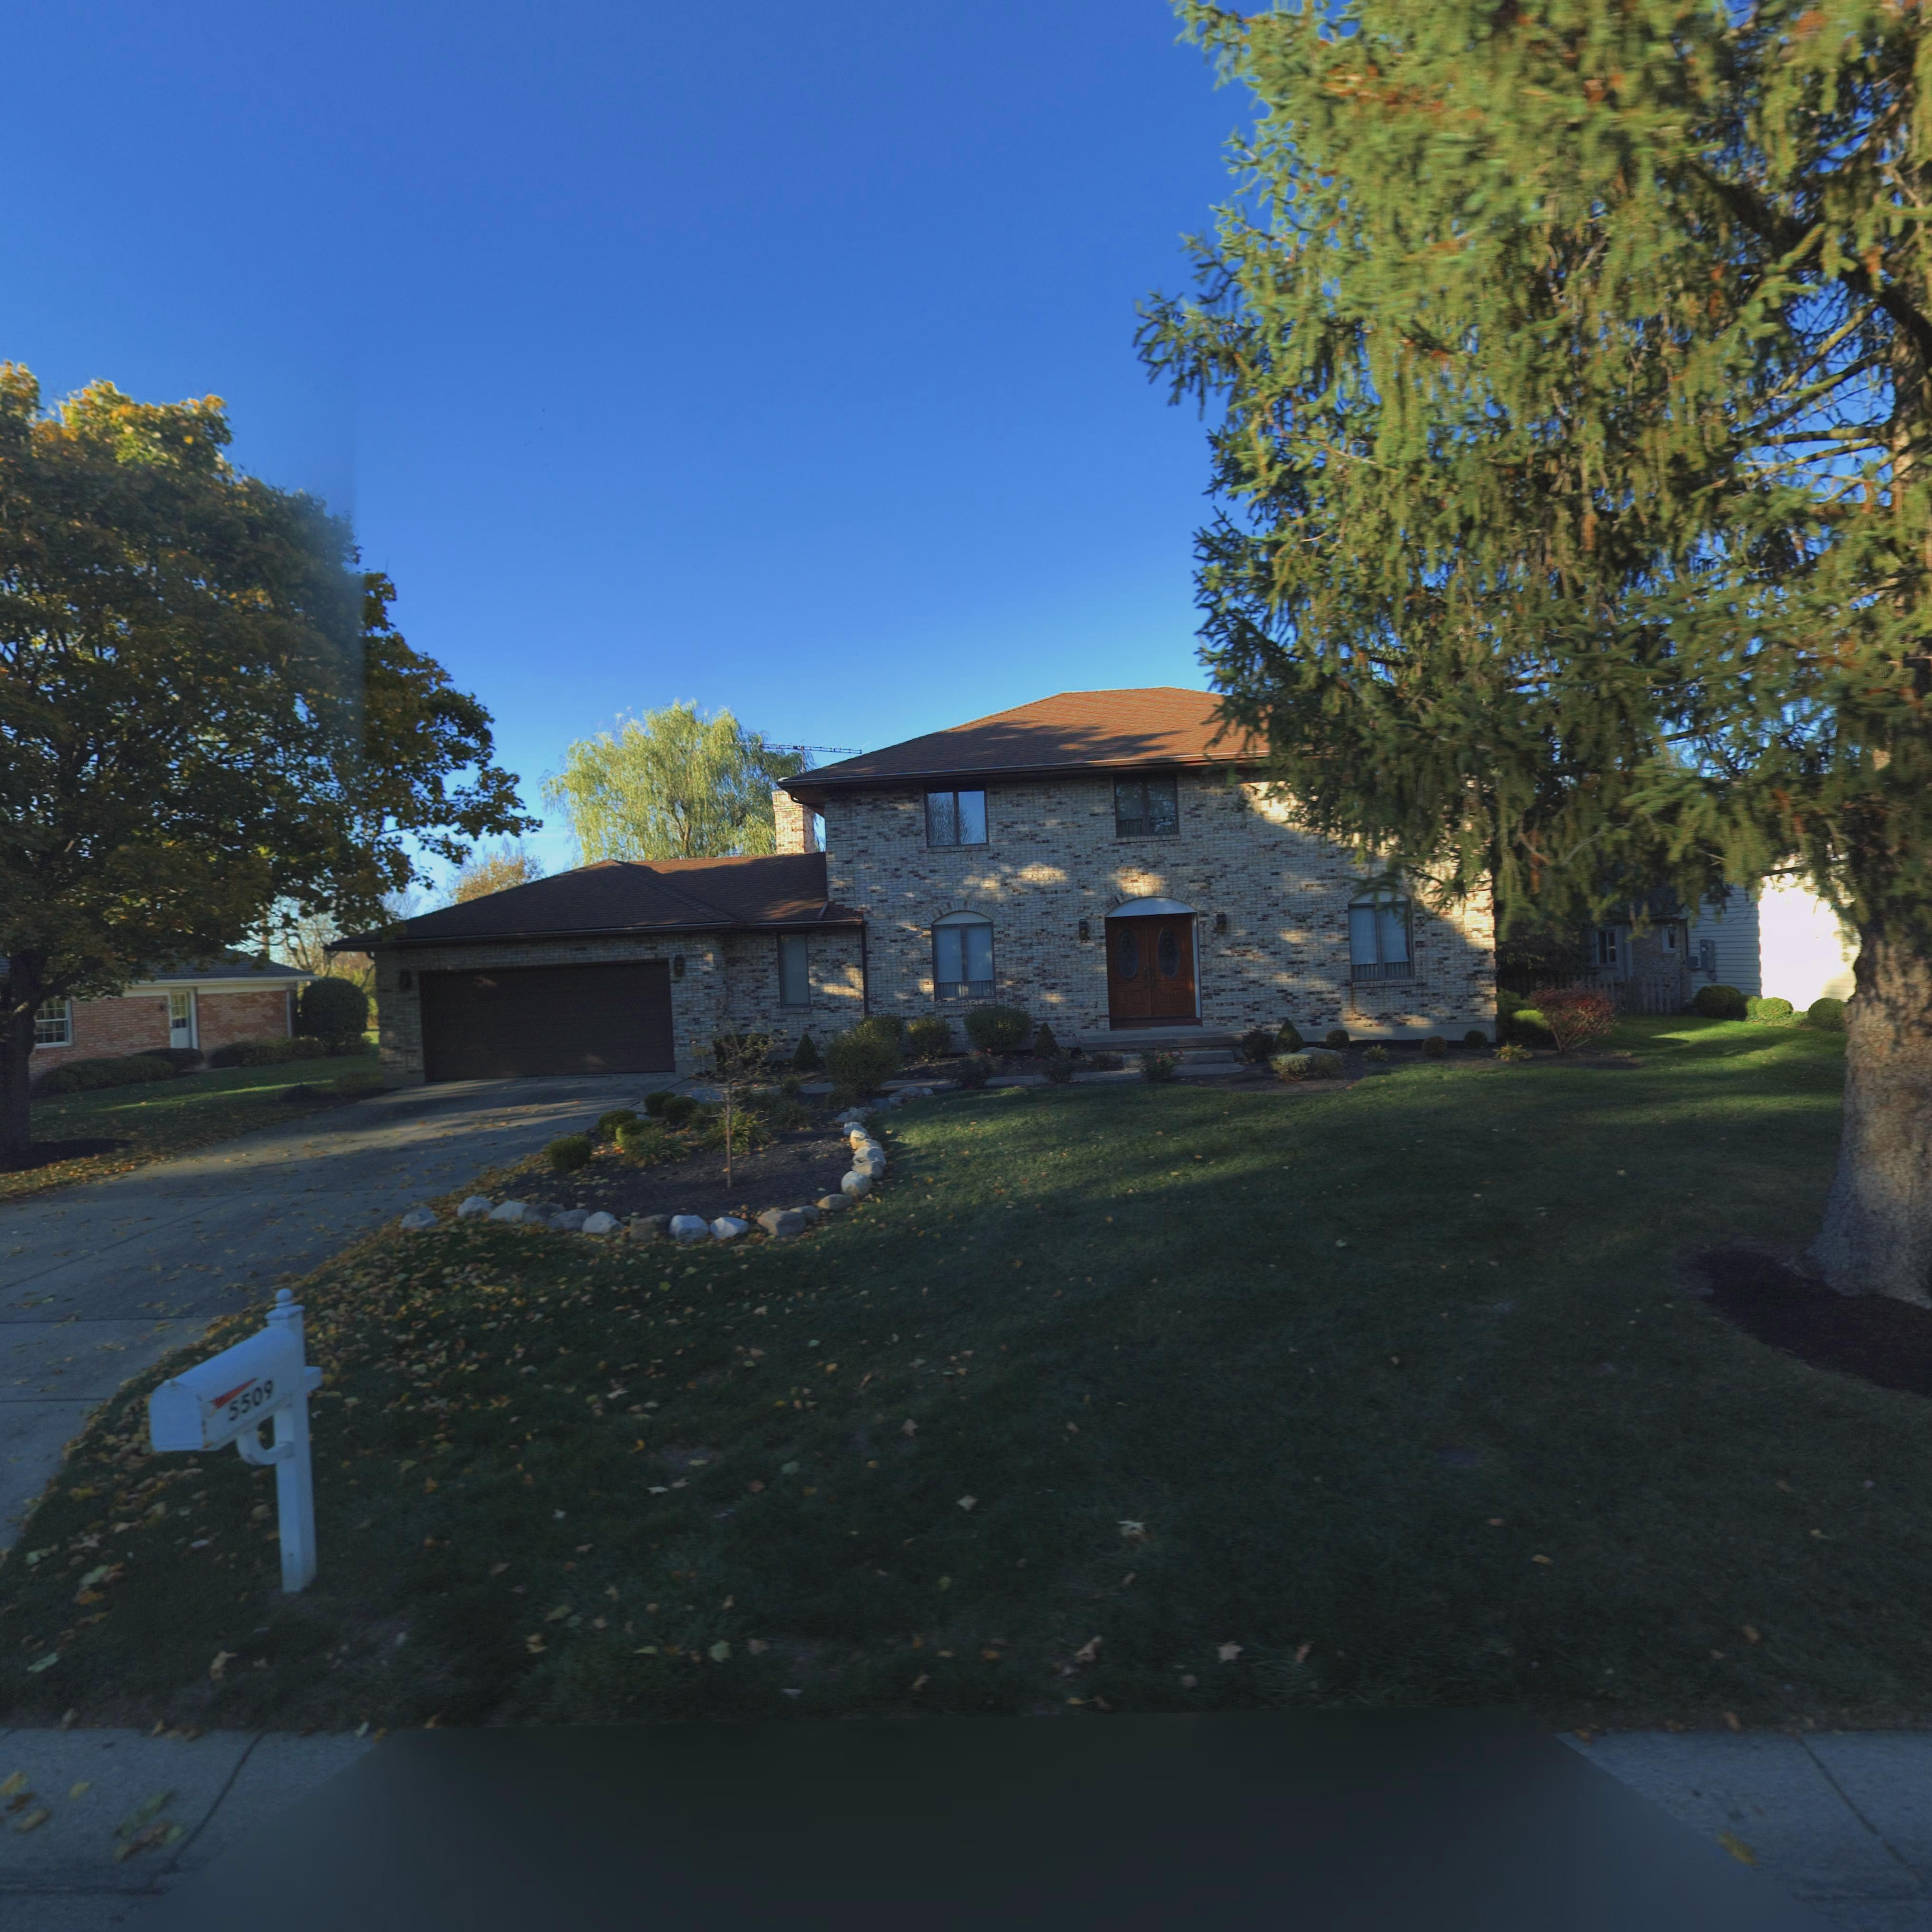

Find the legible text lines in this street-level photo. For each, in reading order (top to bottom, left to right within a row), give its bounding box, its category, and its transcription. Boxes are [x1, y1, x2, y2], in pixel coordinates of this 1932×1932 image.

[227, 1377, 275, 1424] StreetNumber: 5509